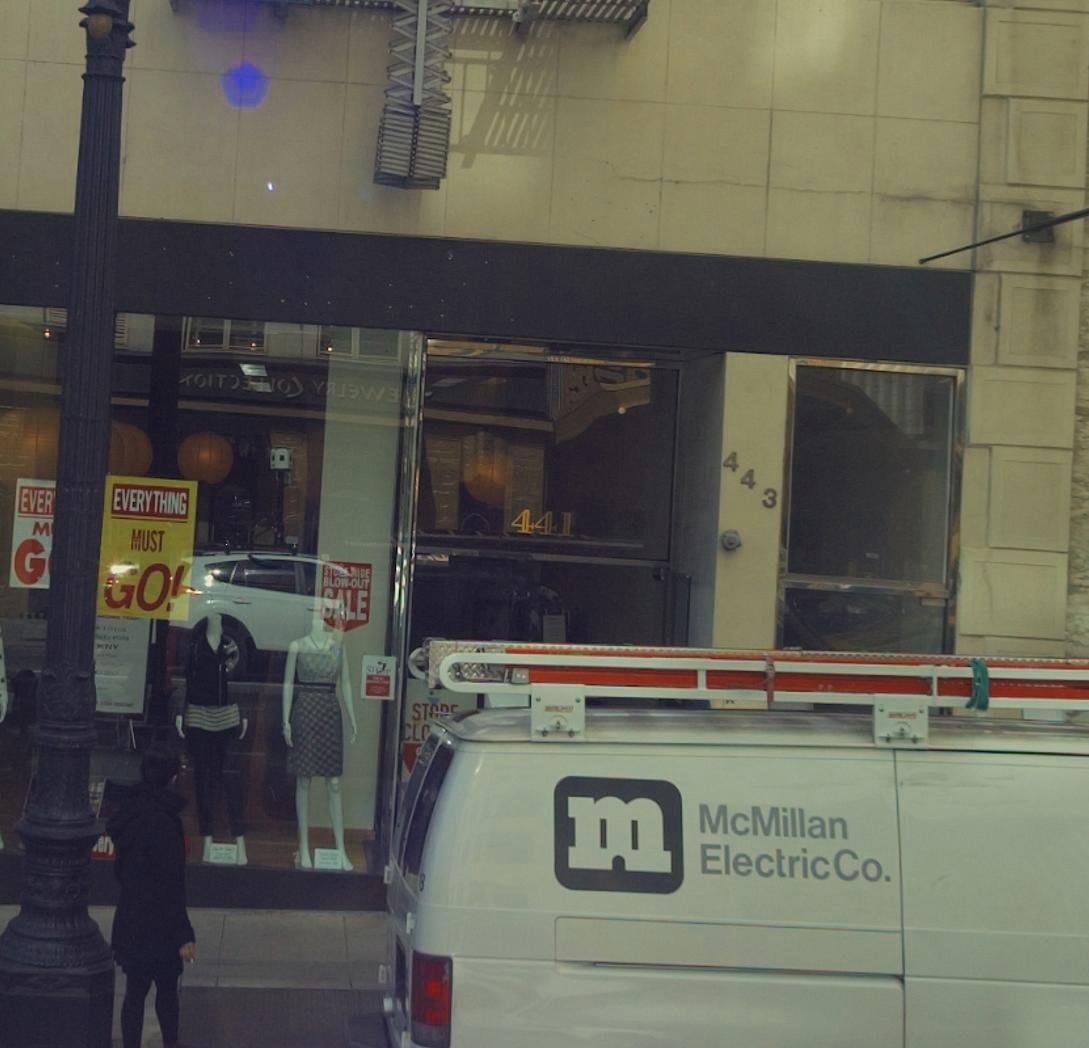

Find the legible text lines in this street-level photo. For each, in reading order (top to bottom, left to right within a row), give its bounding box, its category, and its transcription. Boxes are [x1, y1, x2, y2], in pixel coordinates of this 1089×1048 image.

[189, 369, 405, 410] None: OIT****** Y***W*
[714, 441, 783, 512] StreetNumber: 443
[18, 483, 54, 518] None: EVER
[107, 480, 192, 522] None: EVERYTHING
[28, 519, 55, 543] None: M
[125, 524, 173, 559] None: MUST
[507, 505, 581, 542] StreetNumber: 441
[7, 532, 50, 592] None: G
[91, 553, 197, 620] None: GO!
[317, 586, 370, 624] None: SALE
[319, 574, 371, 592] None: BLOW-OUT
[320, 564, 373, 582] None: STO** WIDE
[101, 641, 121, 652] None: NY
[409, 701, 433, 724] None: ST
[400, 721, 422, 744] None: CL
[695, 797, 851, 846] None: McMillan
[692, 839, 898, 888] None: Electric Co.